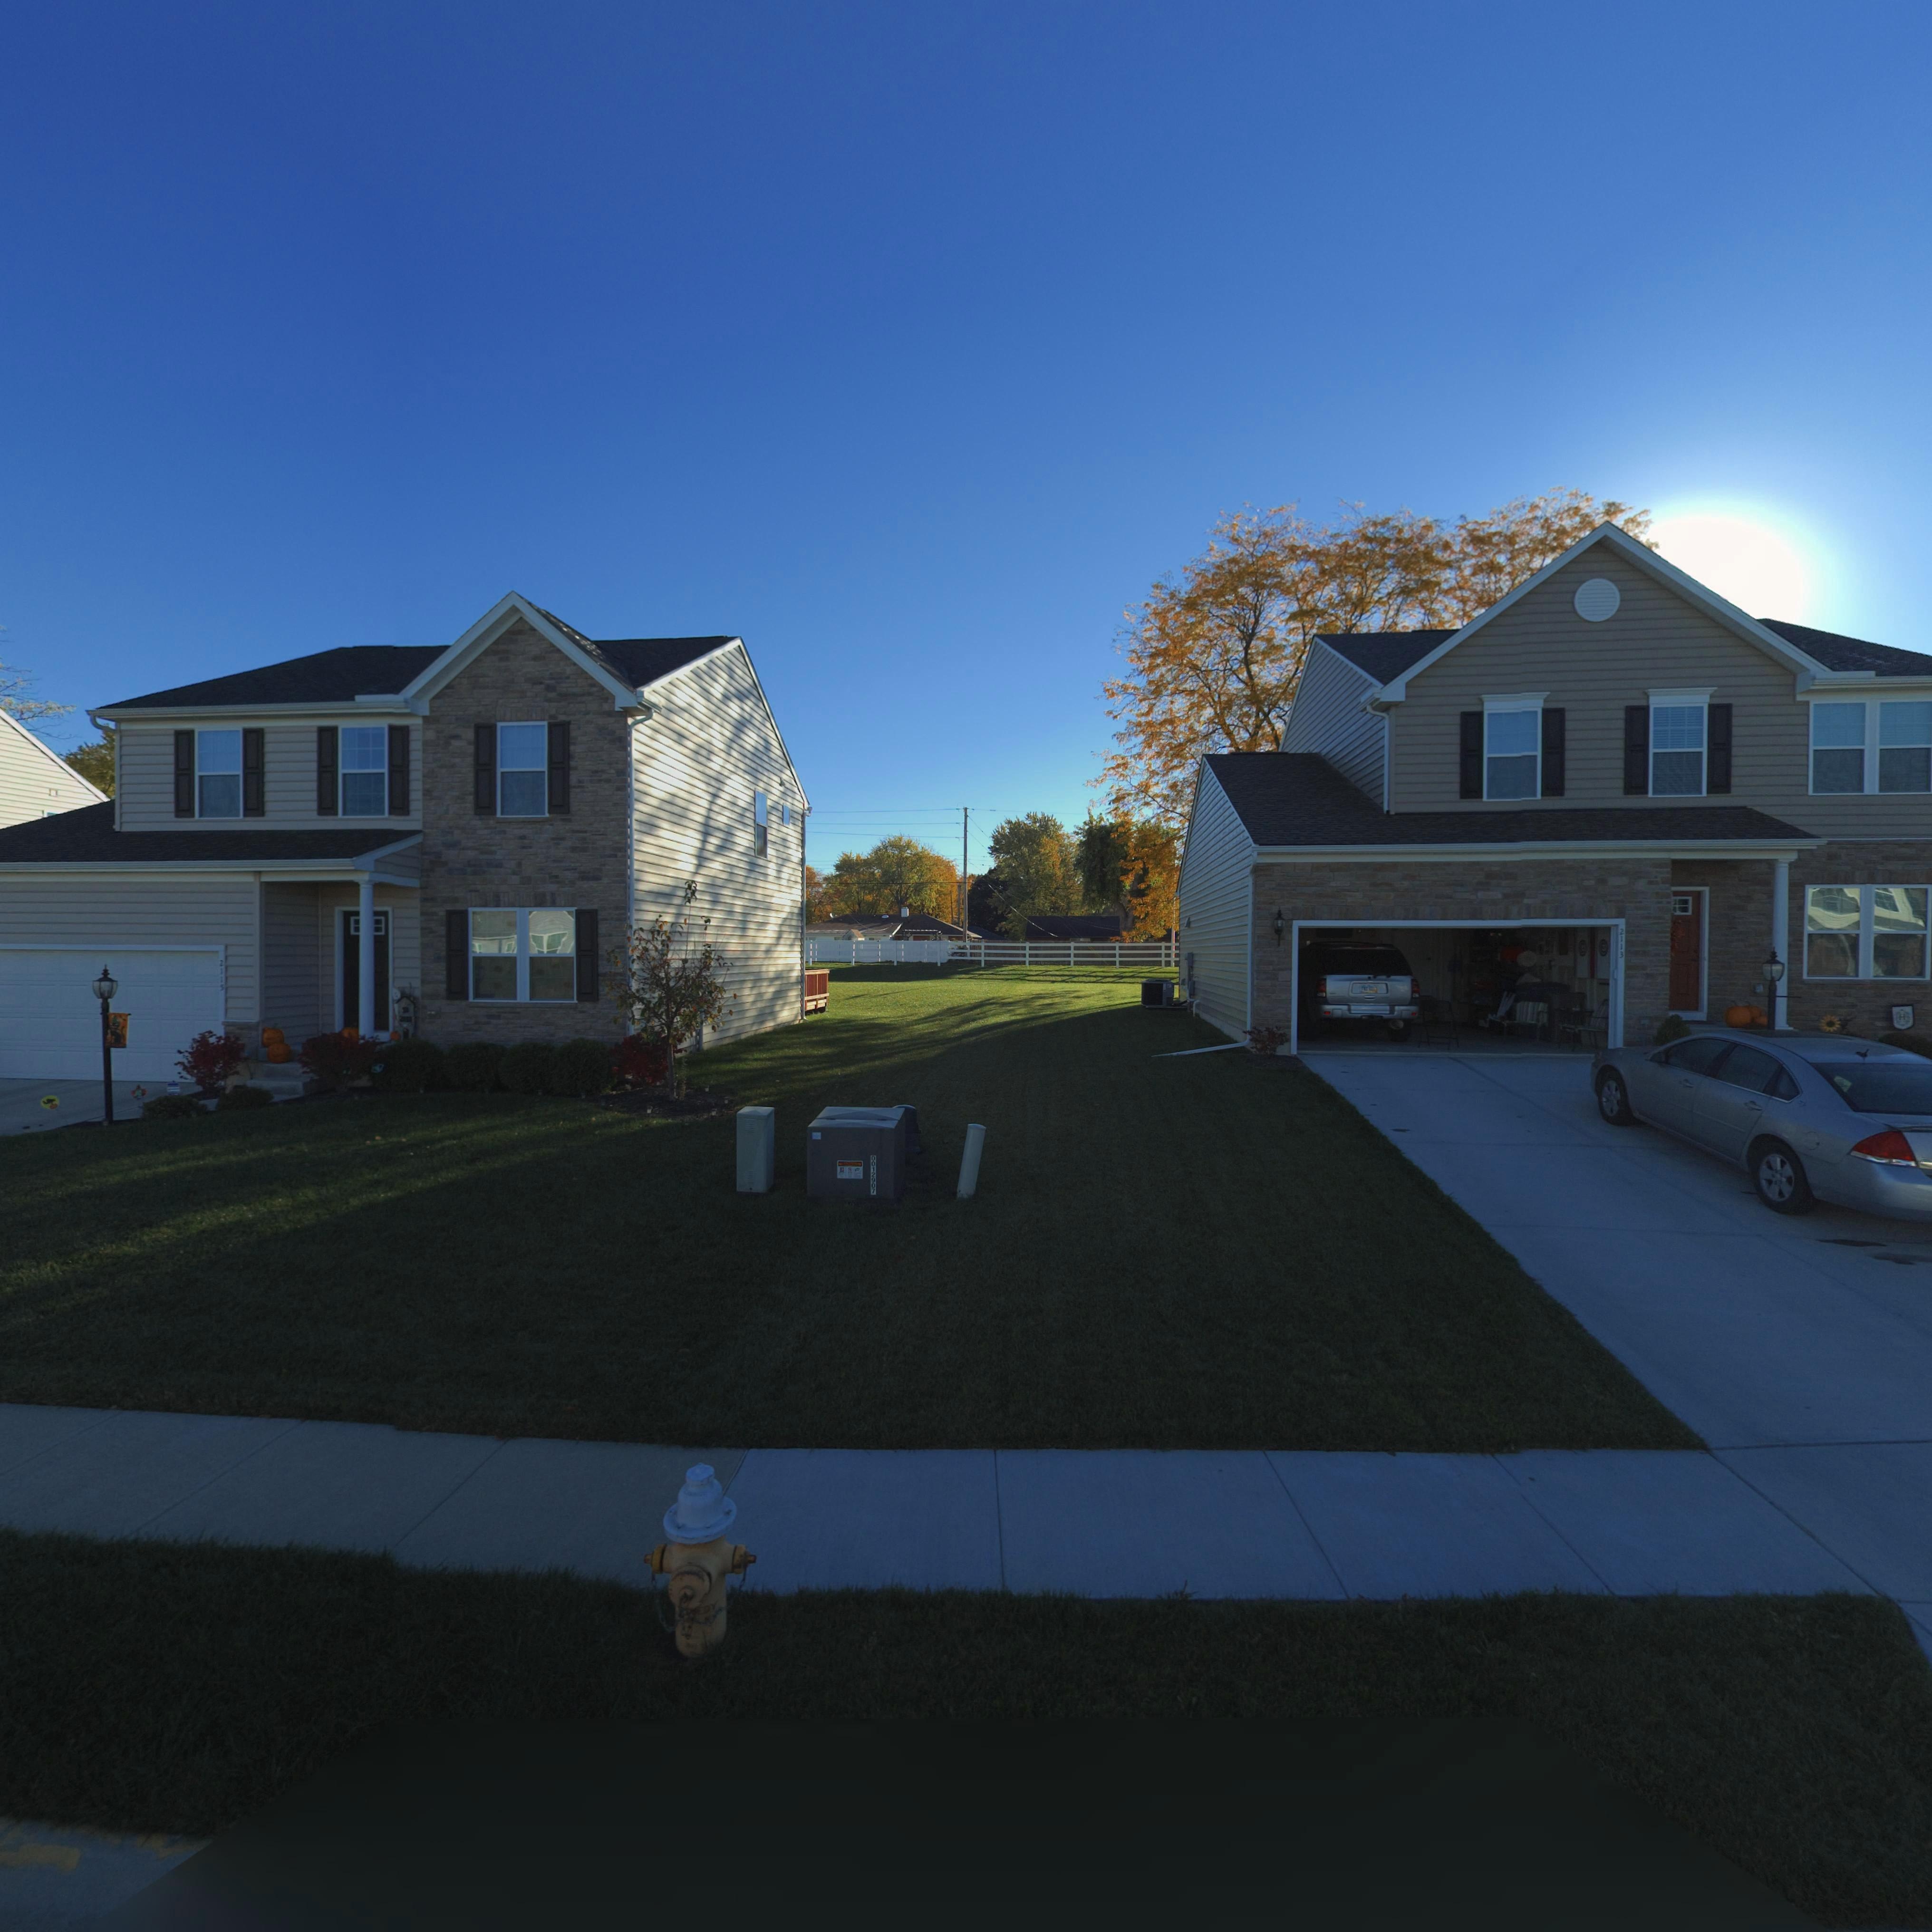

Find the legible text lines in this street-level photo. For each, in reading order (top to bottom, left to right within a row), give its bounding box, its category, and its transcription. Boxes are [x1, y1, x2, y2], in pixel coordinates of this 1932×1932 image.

[1617, 927, 1625, 959] StreetNumber: 2113
[218, 958, 226, 993] StreetNumber: 2115